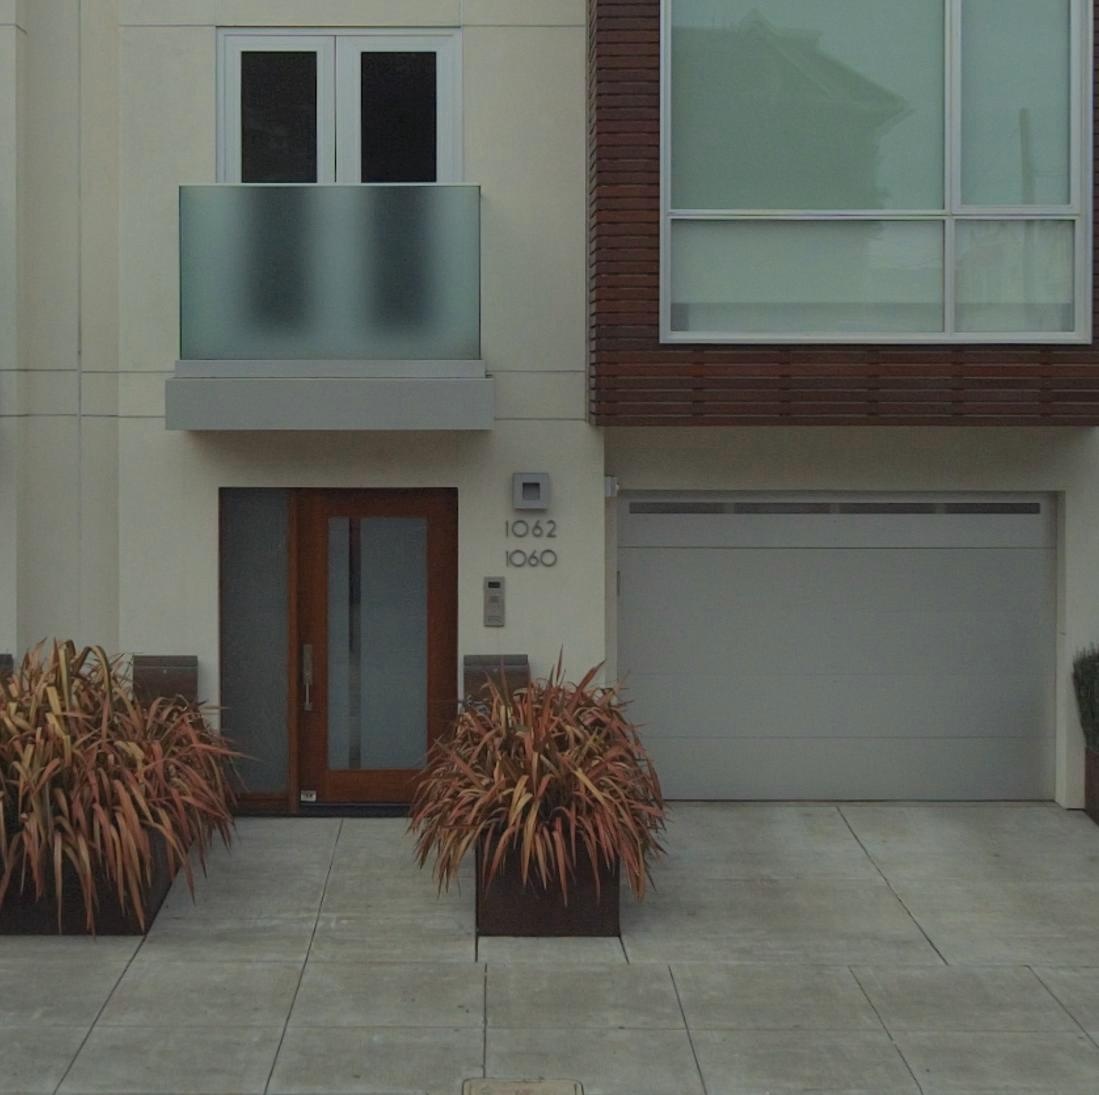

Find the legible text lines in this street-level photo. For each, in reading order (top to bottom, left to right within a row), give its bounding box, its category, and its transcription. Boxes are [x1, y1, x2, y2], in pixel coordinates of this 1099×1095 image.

[503, 518, 558, 539] StreetNumber: 1062
[501, 547, 560, 569] StreetNumber: 1060